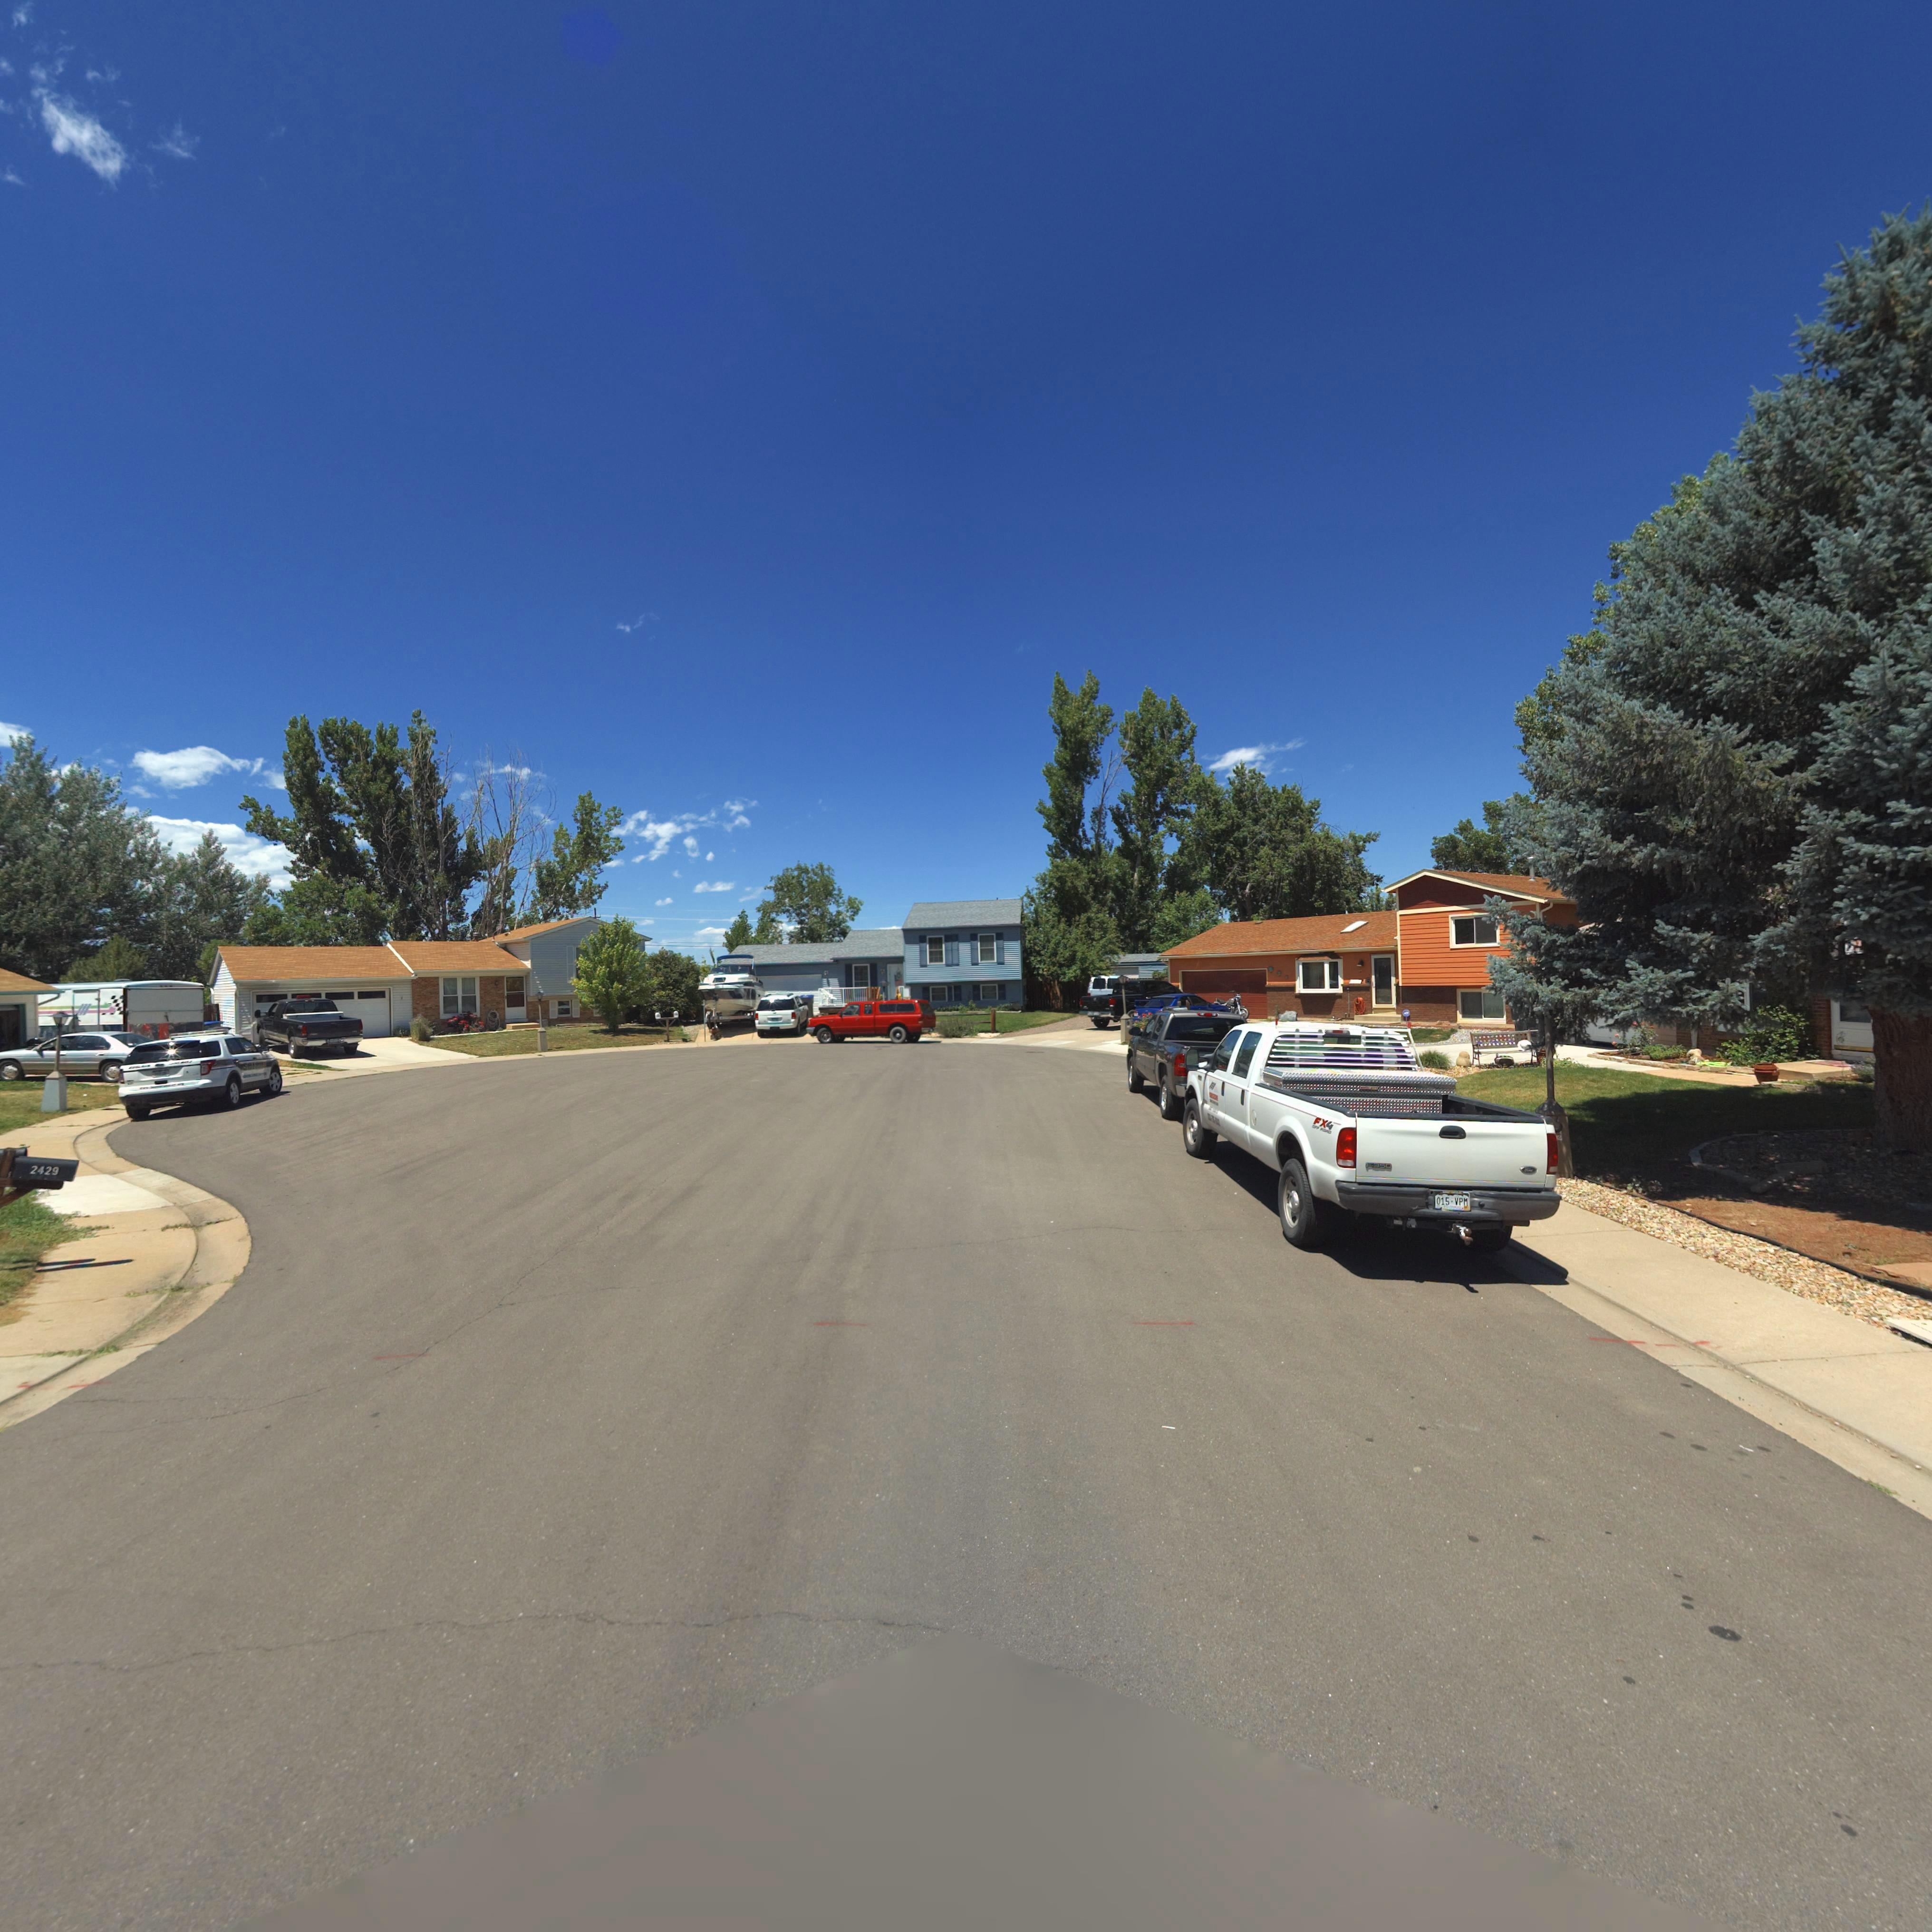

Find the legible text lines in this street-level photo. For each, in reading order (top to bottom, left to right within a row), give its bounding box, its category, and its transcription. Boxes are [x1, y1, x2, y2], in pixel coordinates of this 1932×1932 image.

[29, 1165, 59, 1176] StreetNumber: 2429